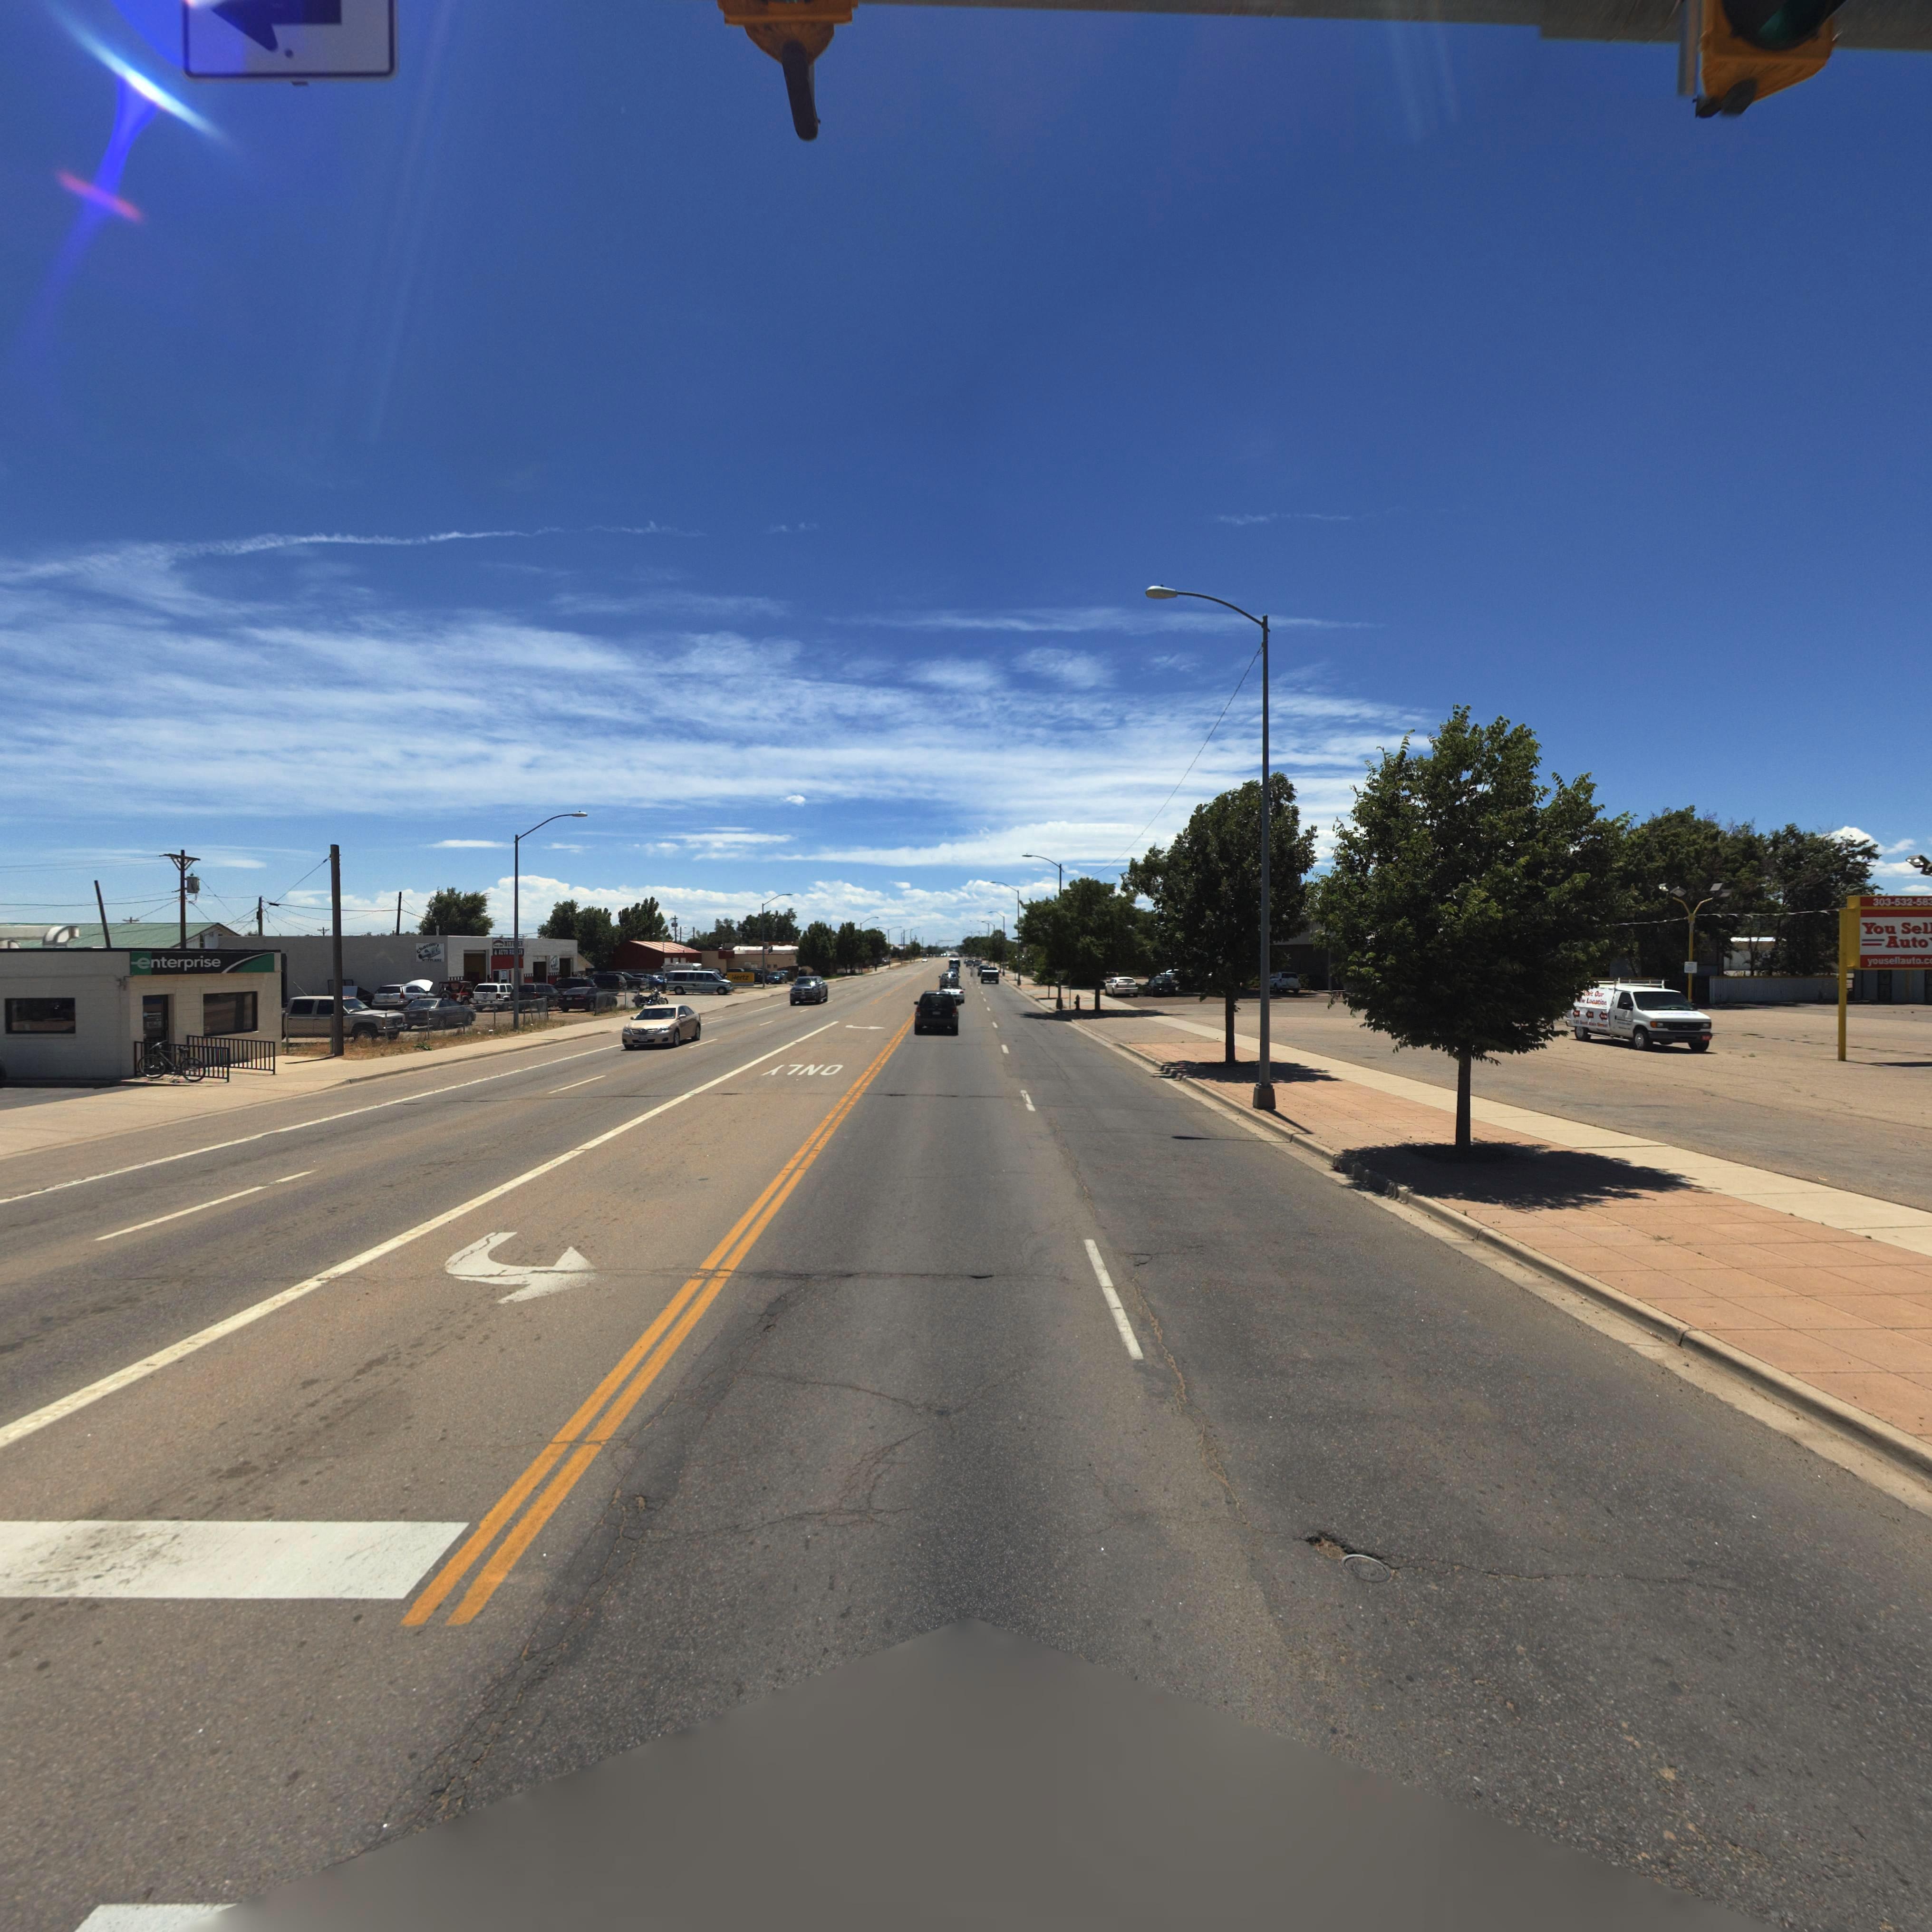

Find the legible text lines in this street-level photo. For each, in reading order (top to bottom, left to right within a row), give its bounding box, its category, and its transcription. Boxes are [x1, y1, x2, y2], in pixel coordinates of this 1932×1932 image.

[1860, 921, 1929, 935] BusinessName: You Sel
[415, 942, 436, 954] BusinessName: chacon
[1884, 936, 1928, 948] BusinessName: Auto
[136, 955, 221, 973] BusinessName: enterprise
[732, 974, 749, 980] BusinessName: Hertz